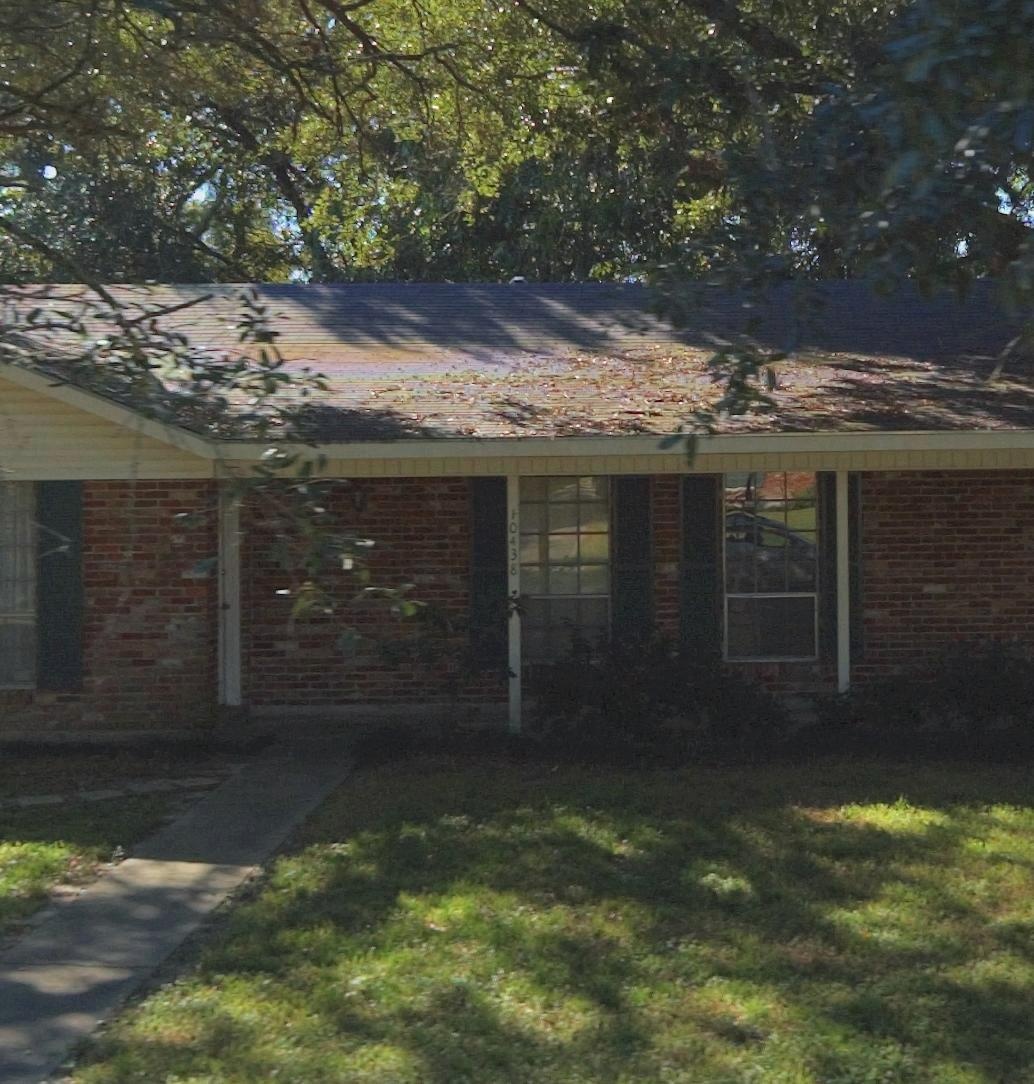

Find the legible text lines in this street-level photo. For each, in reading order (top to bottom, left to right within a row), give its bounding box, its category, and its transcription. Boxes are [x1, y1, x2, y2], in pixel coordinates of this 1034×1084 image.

[508, 507, 519, 578] StreetNumber: 10438